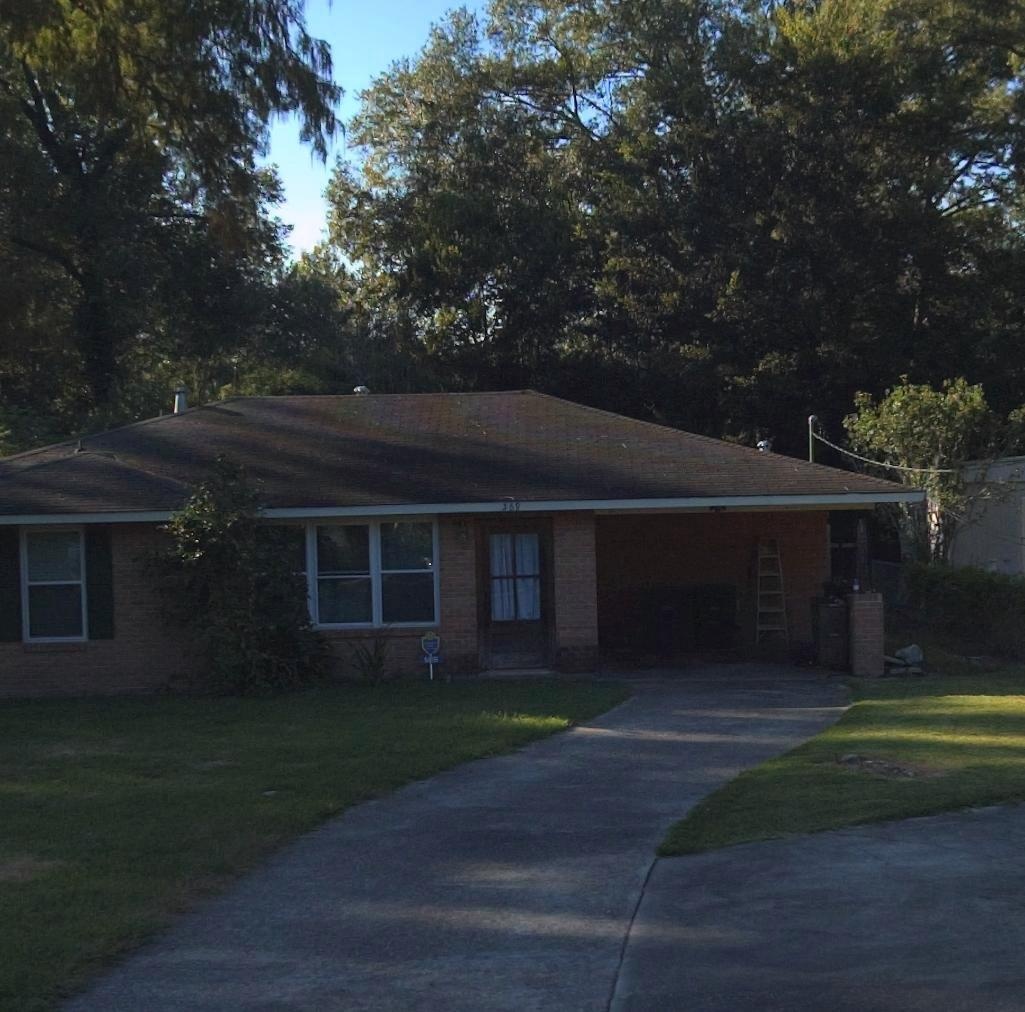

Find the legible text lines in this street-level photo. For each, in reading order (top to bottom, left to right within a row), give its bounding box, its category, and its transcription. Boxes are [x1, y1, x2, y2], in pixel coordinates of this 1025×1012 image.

[500, 500, 523, 514] StreetNumber: 569